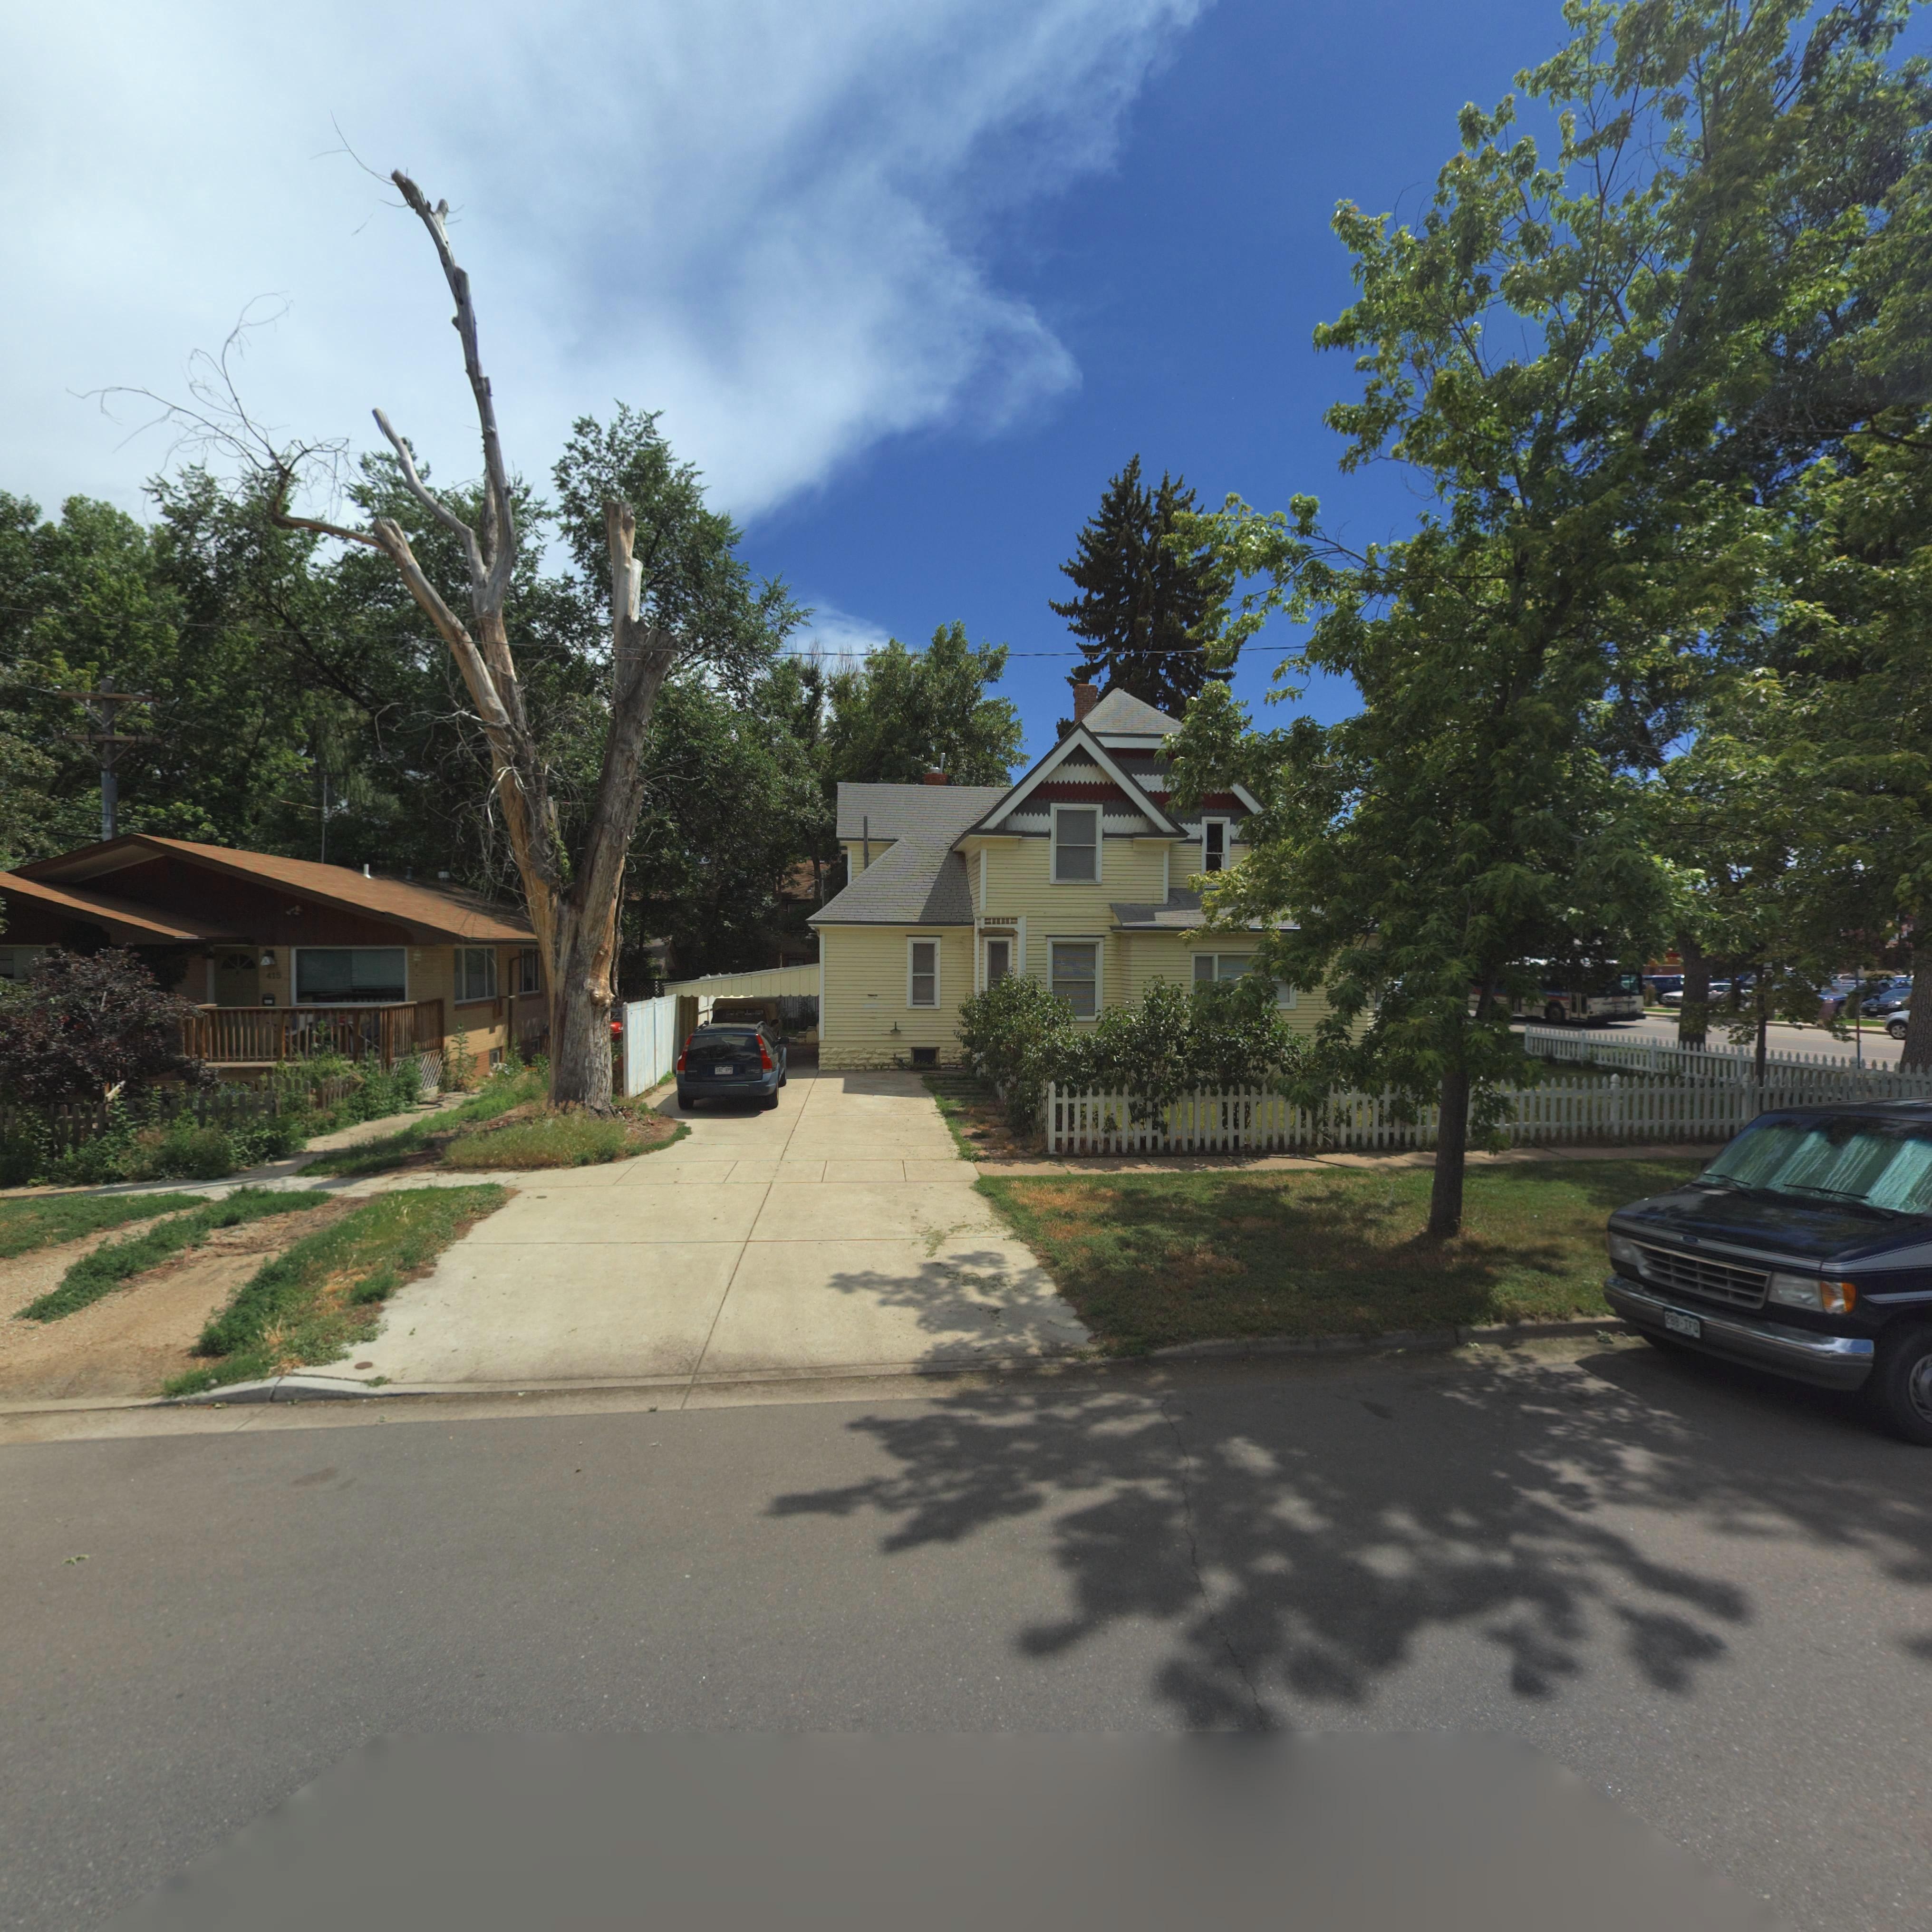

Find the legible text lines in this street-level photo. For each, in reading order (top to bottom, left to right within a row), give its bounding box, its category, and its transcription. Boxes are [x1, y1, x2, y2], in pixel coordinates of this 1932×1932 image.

[264, 971, 281, 979] StreetNumber: 415